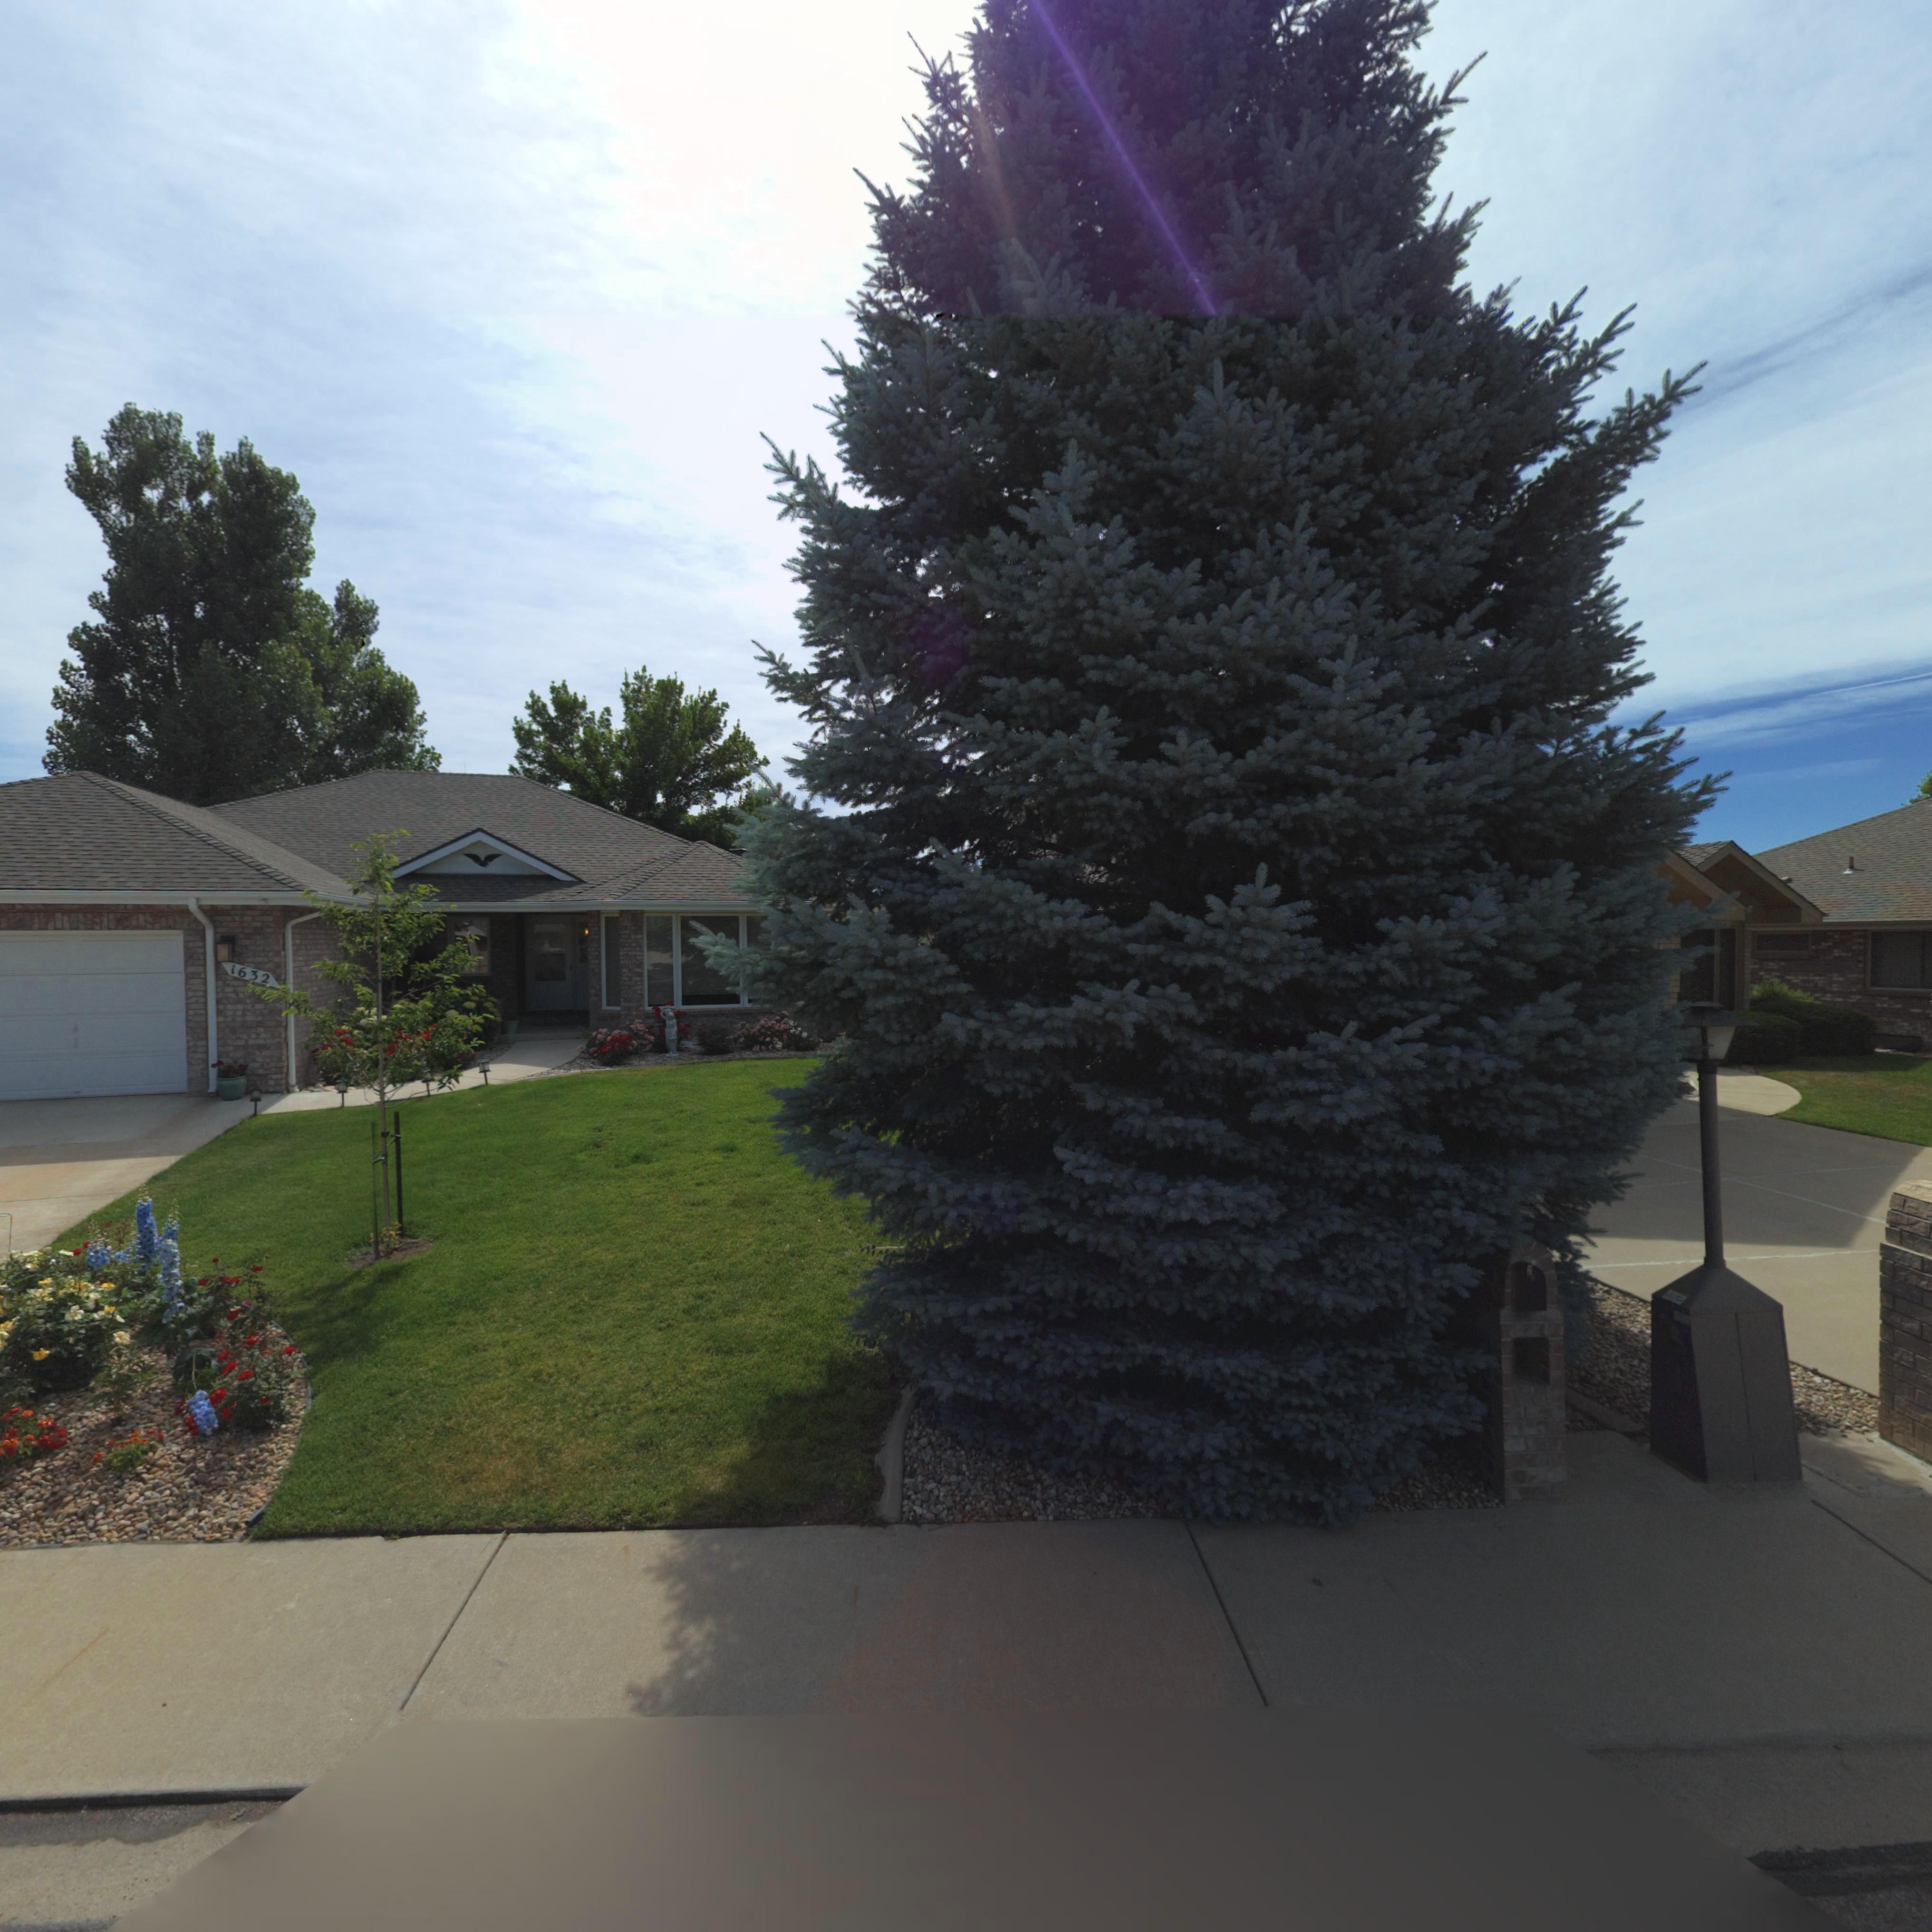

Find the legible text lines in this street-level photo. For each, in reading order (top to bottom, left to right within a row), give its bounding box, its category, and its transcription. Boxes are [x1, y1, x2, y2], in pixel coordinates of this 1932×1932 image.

[230, 964, 270, 984] StreetNumber: 1632